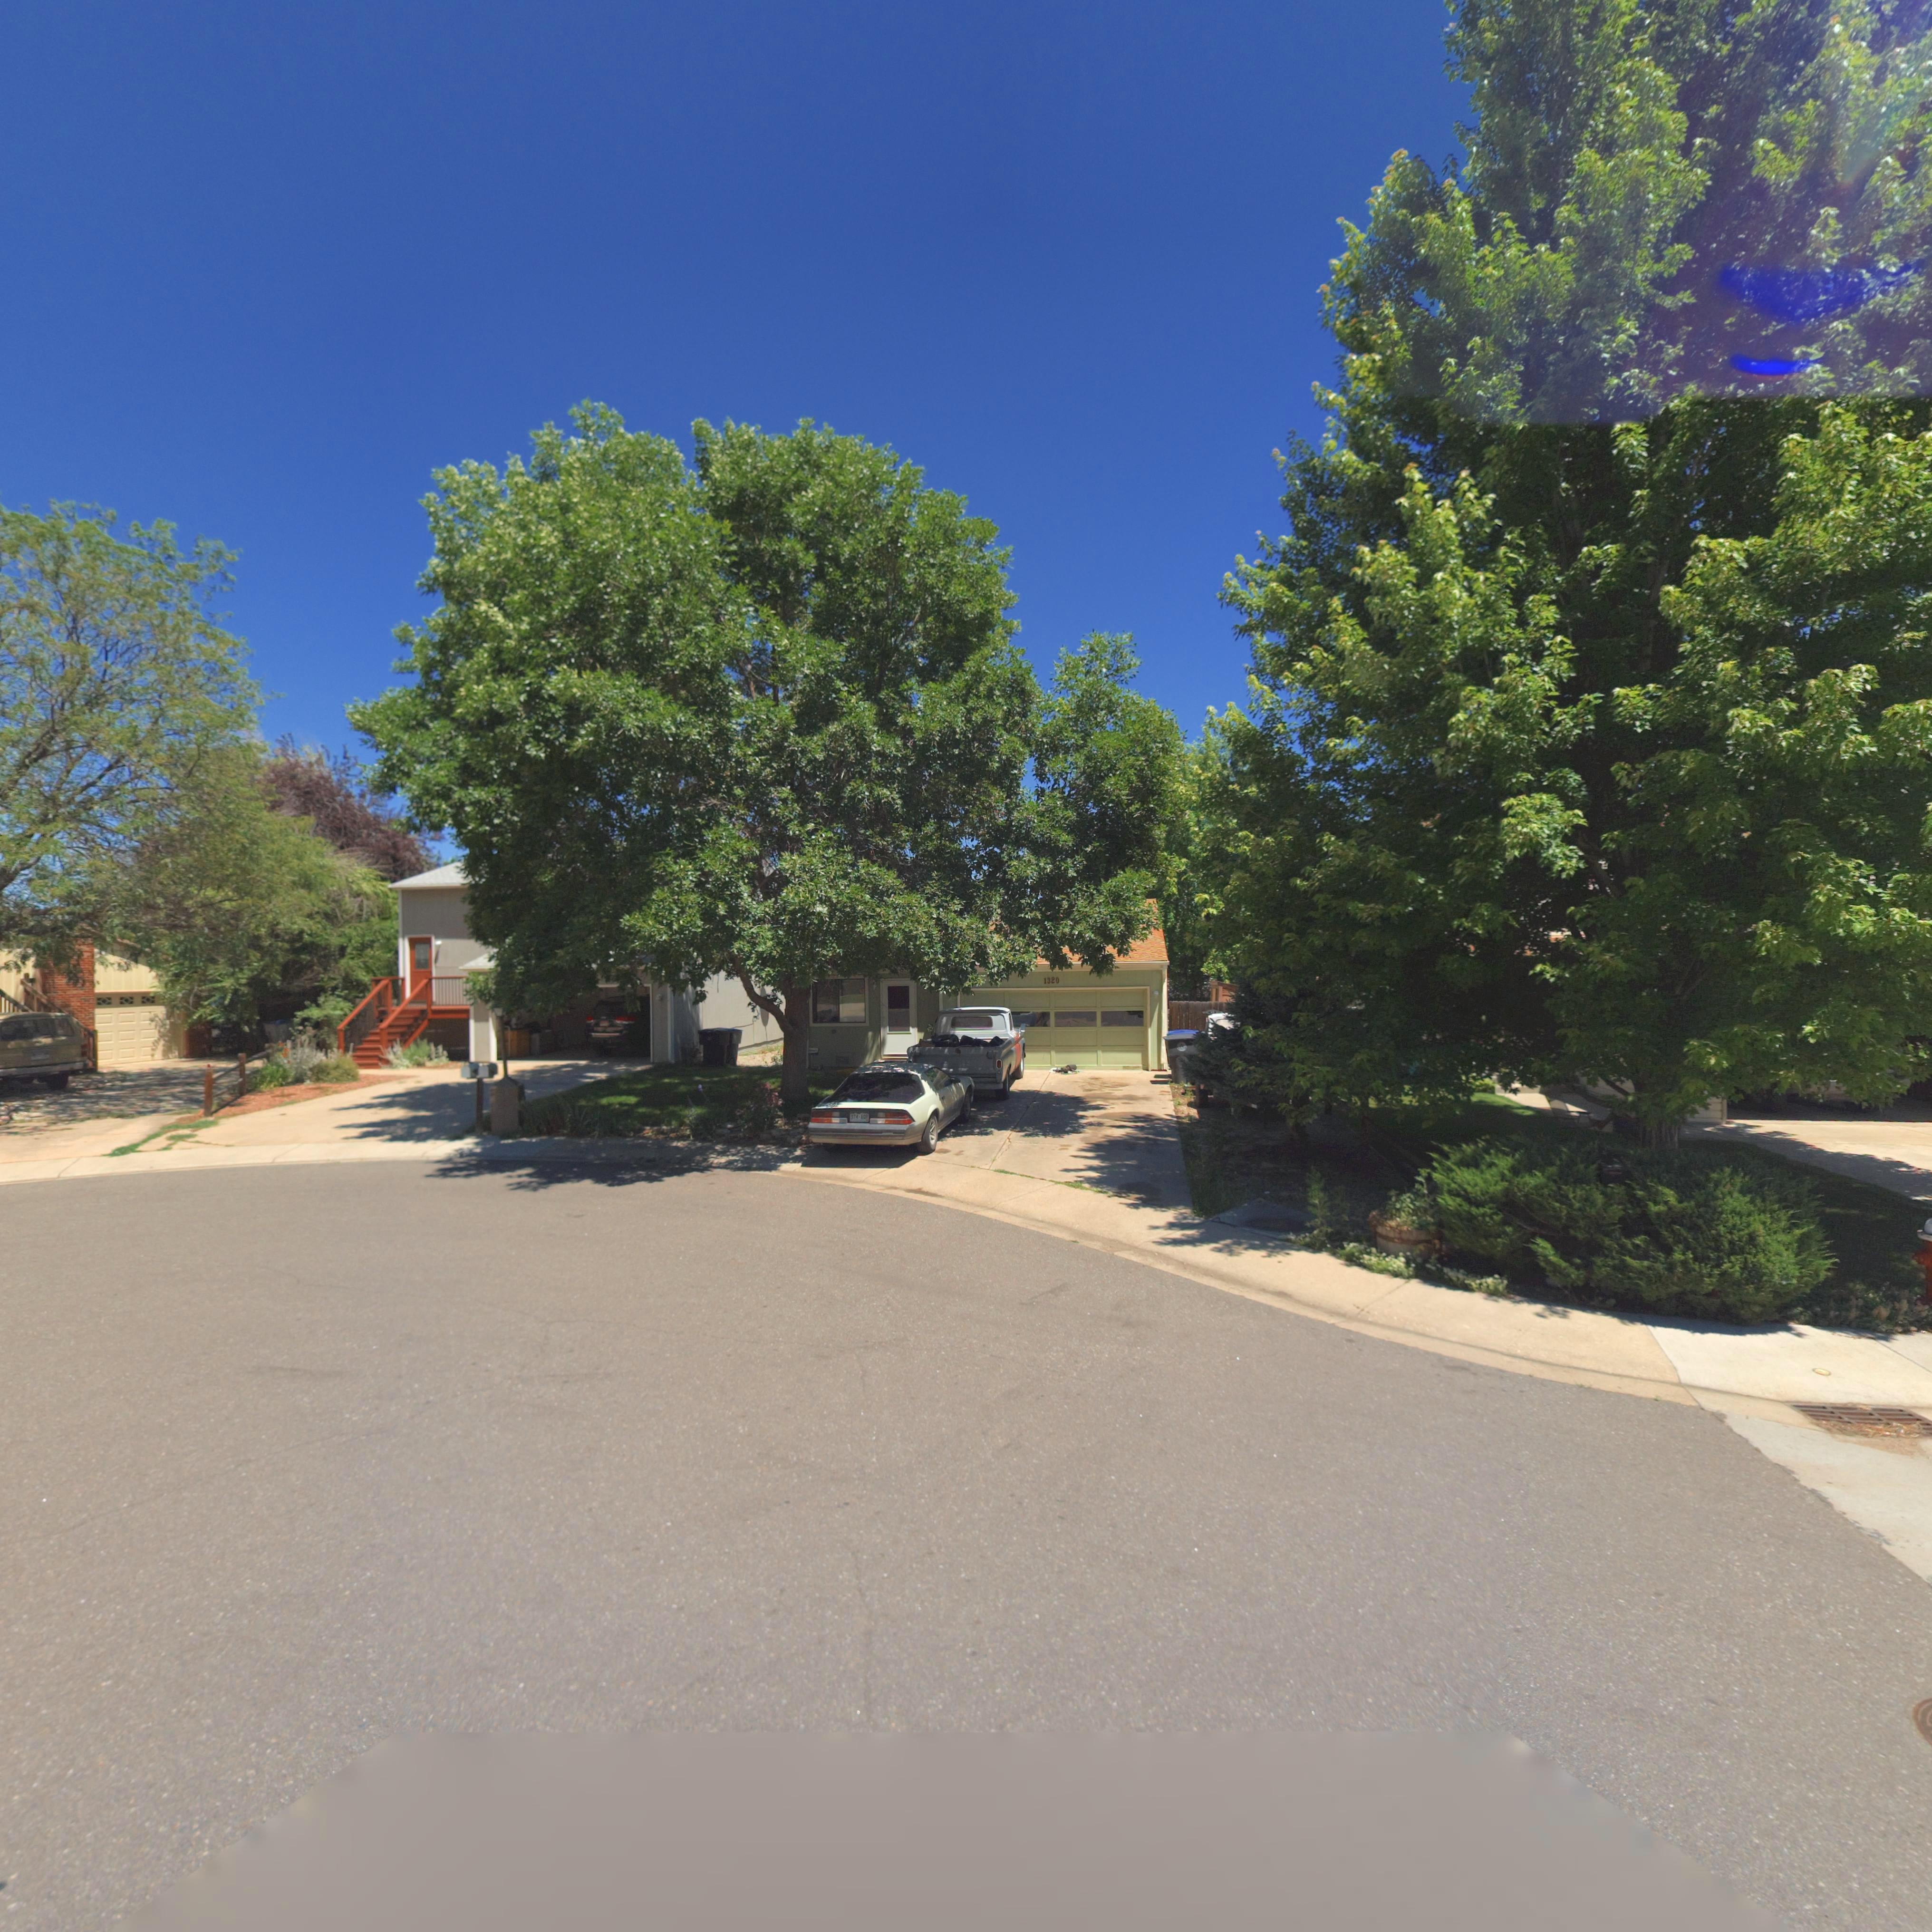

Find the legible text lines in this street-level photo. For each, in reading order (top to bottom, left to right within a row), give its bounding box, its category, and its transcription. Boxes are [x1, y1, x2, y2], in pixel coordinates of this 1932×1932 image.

[1043, 976, 1059, 984] StreetNumber: 1320